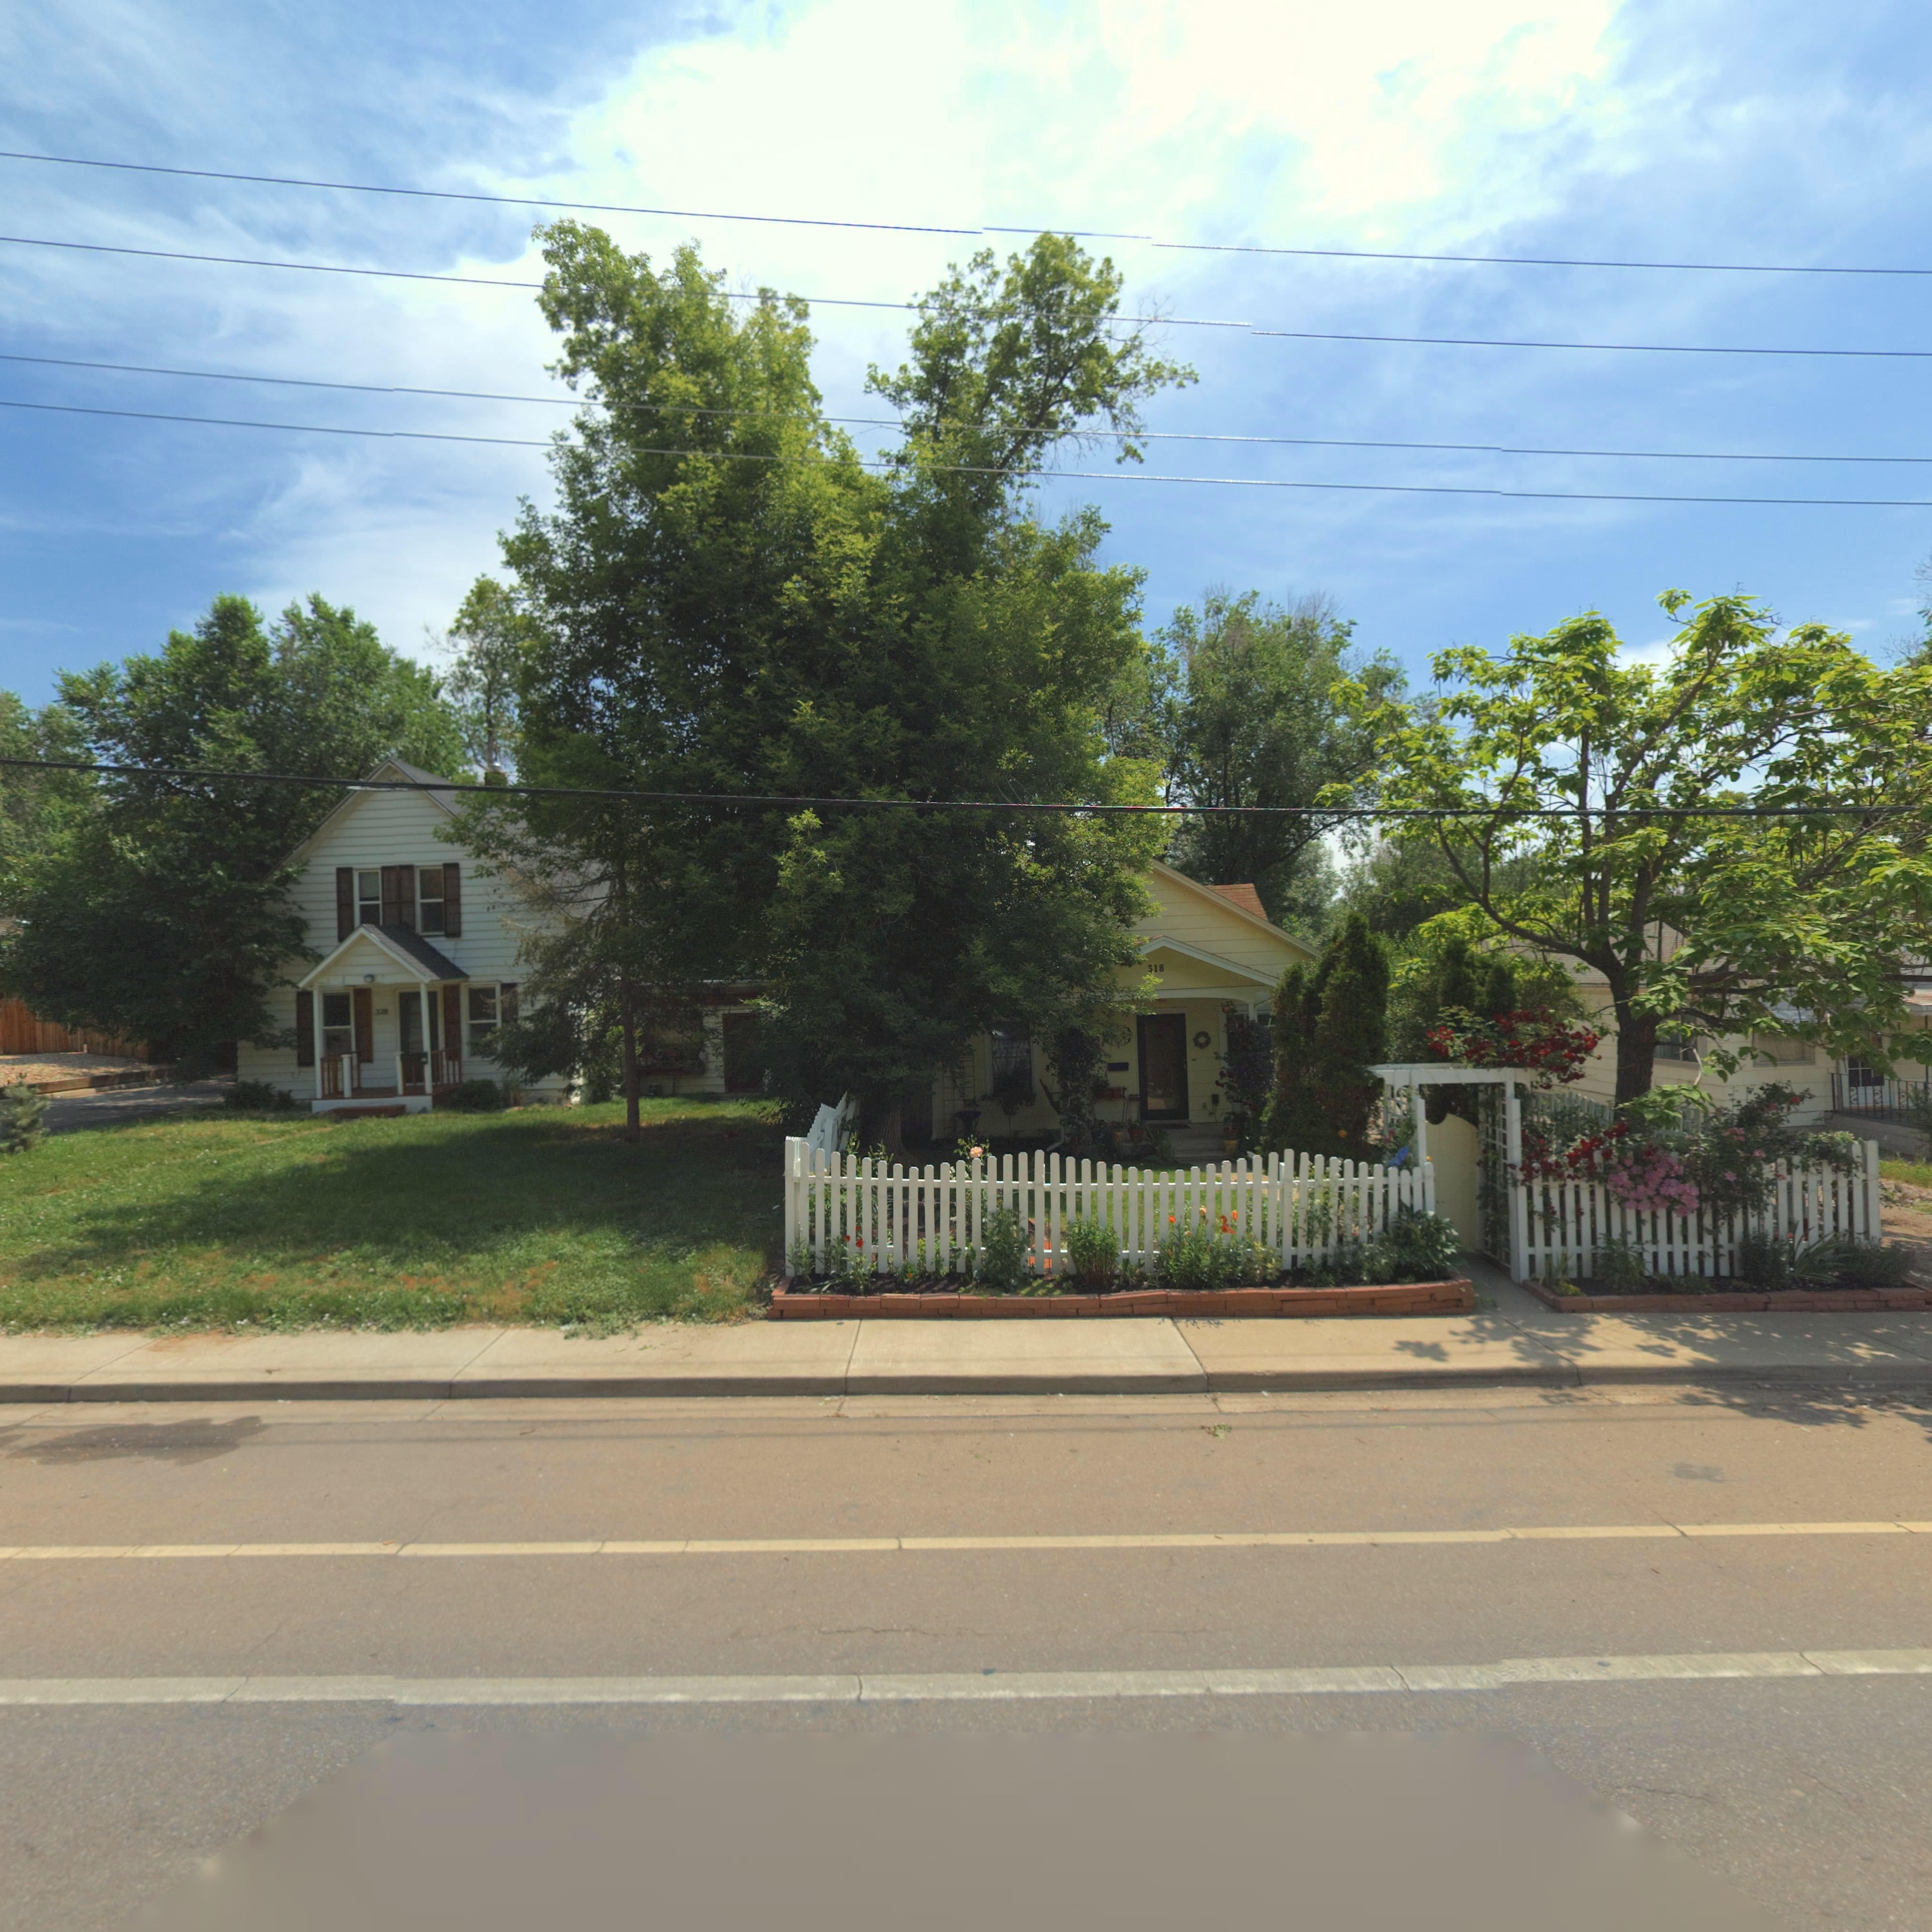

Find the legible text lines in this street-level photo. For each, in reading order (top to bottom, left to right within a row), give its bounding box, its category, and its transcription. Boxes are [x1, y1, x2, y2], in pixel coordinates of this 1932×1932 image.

[1148, 964, 1164, 972] StreetNumber: 318
[375, 1008, 389, 1015] StreetNumber: 328